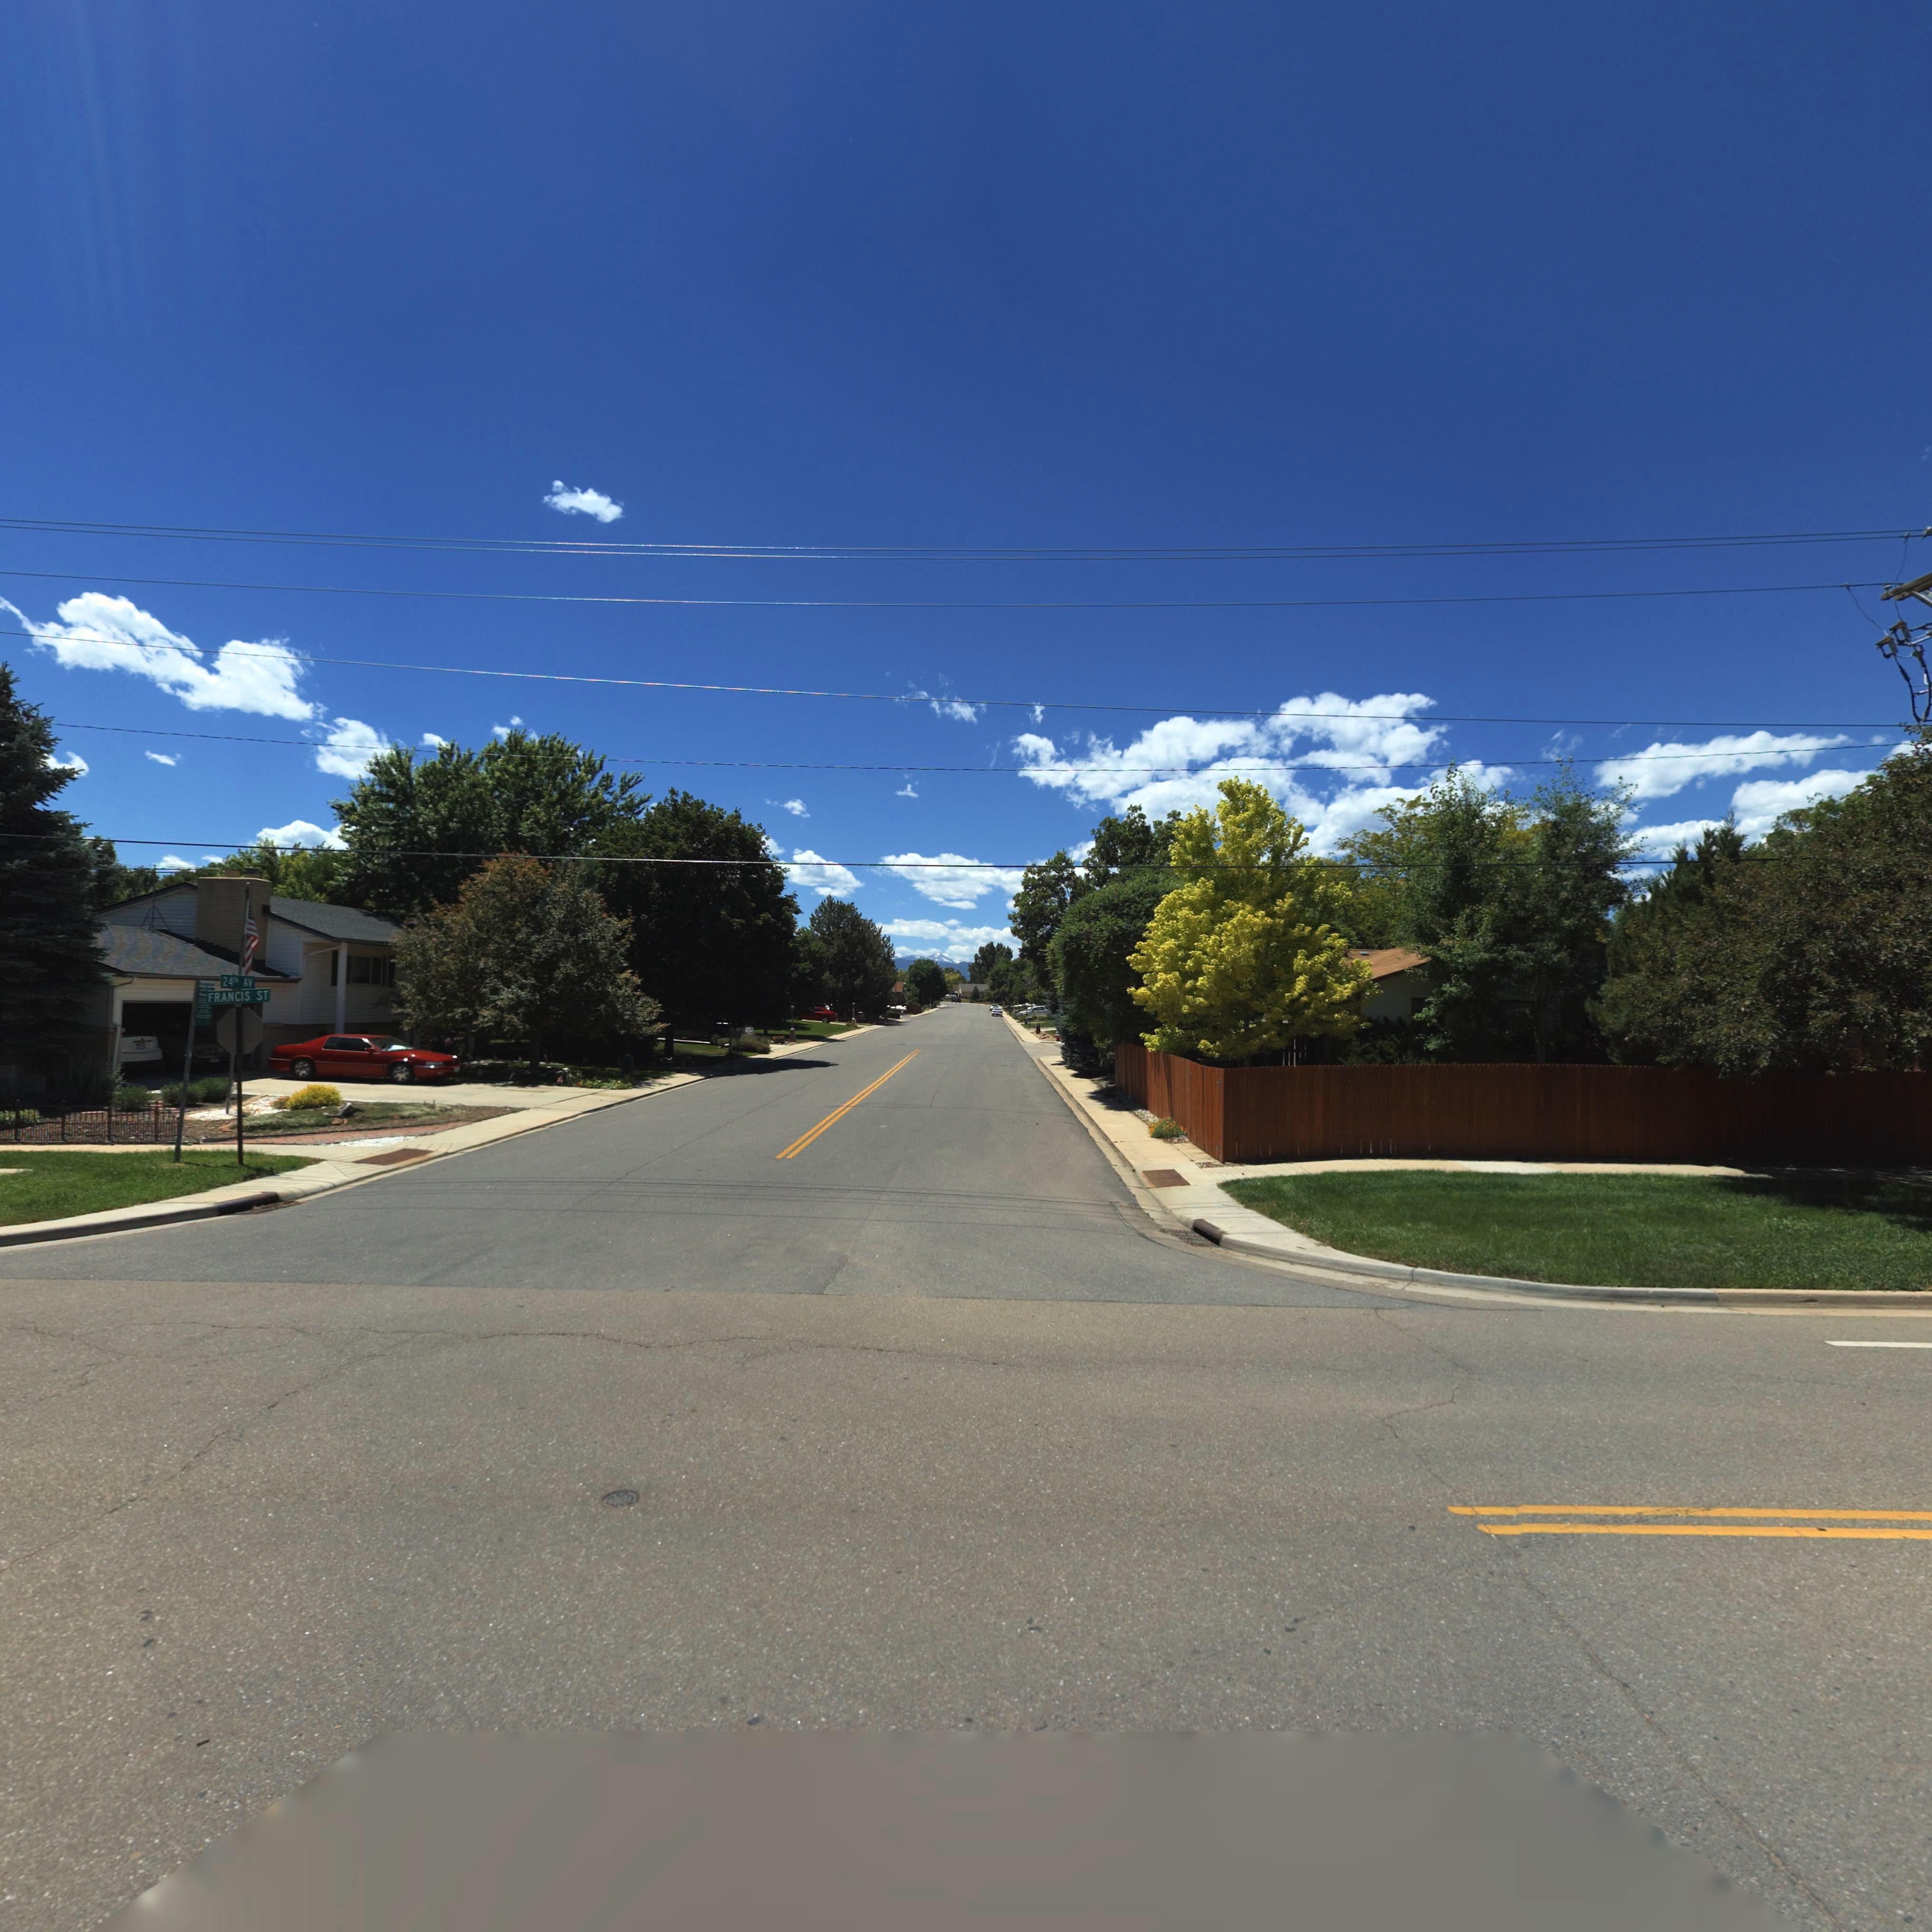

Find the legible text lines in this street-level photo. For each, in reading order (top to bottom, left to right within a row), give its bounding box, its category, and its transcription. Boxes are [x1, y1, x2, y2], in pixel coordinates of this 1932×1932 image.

[222, 975, 253, 987] StreetName: 24TH AV
[207, 989, 268, 1003] StreetName: FRANCIS ST